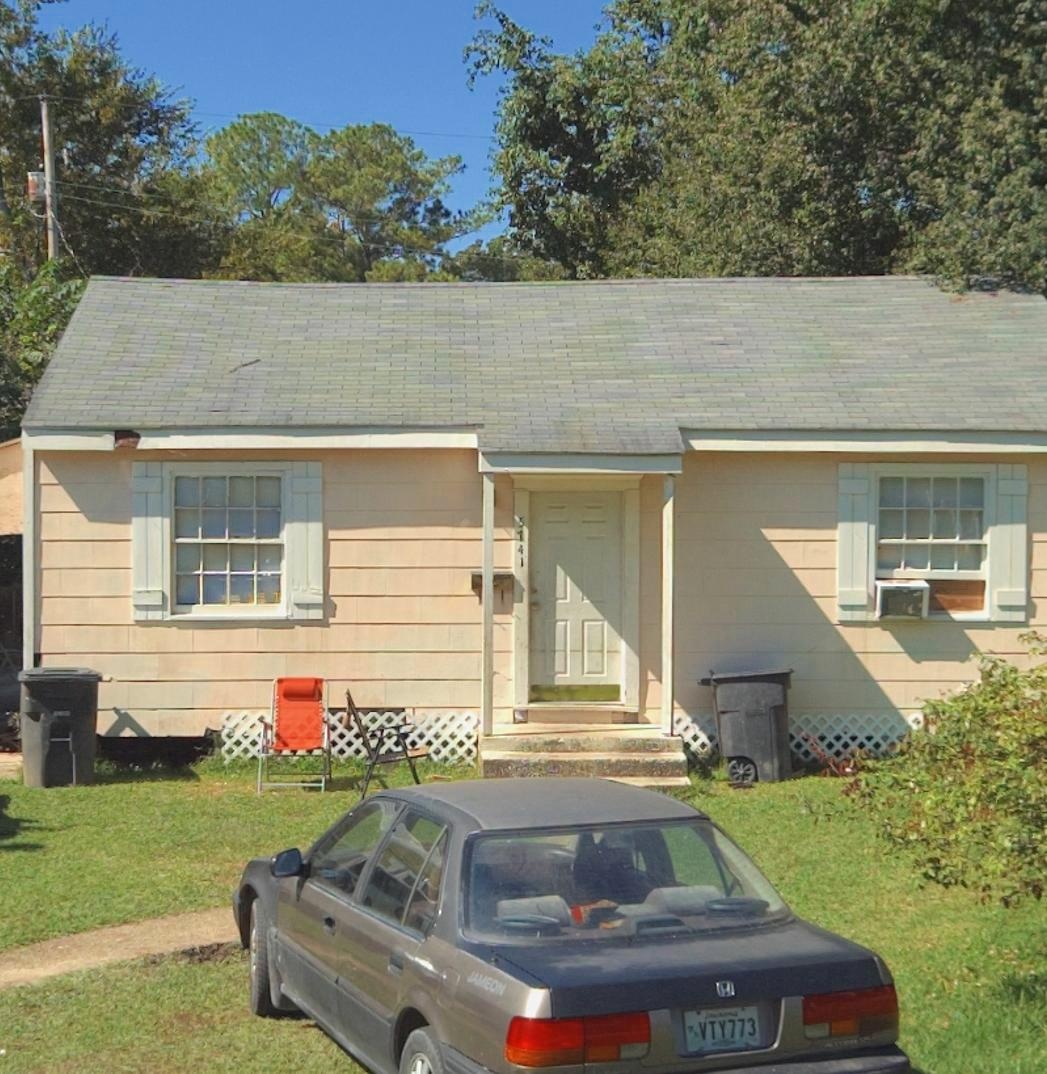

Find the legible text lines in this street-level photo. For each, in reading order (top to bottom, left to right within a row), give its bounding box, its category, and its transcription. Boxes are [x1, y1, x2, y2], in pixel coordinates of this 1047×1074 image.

[516, 515, 525, 568] StreetNumber: 5741
[473, 971, 509, 999] None: MEON
[694, 1015, 759, 1043] None: VTY773